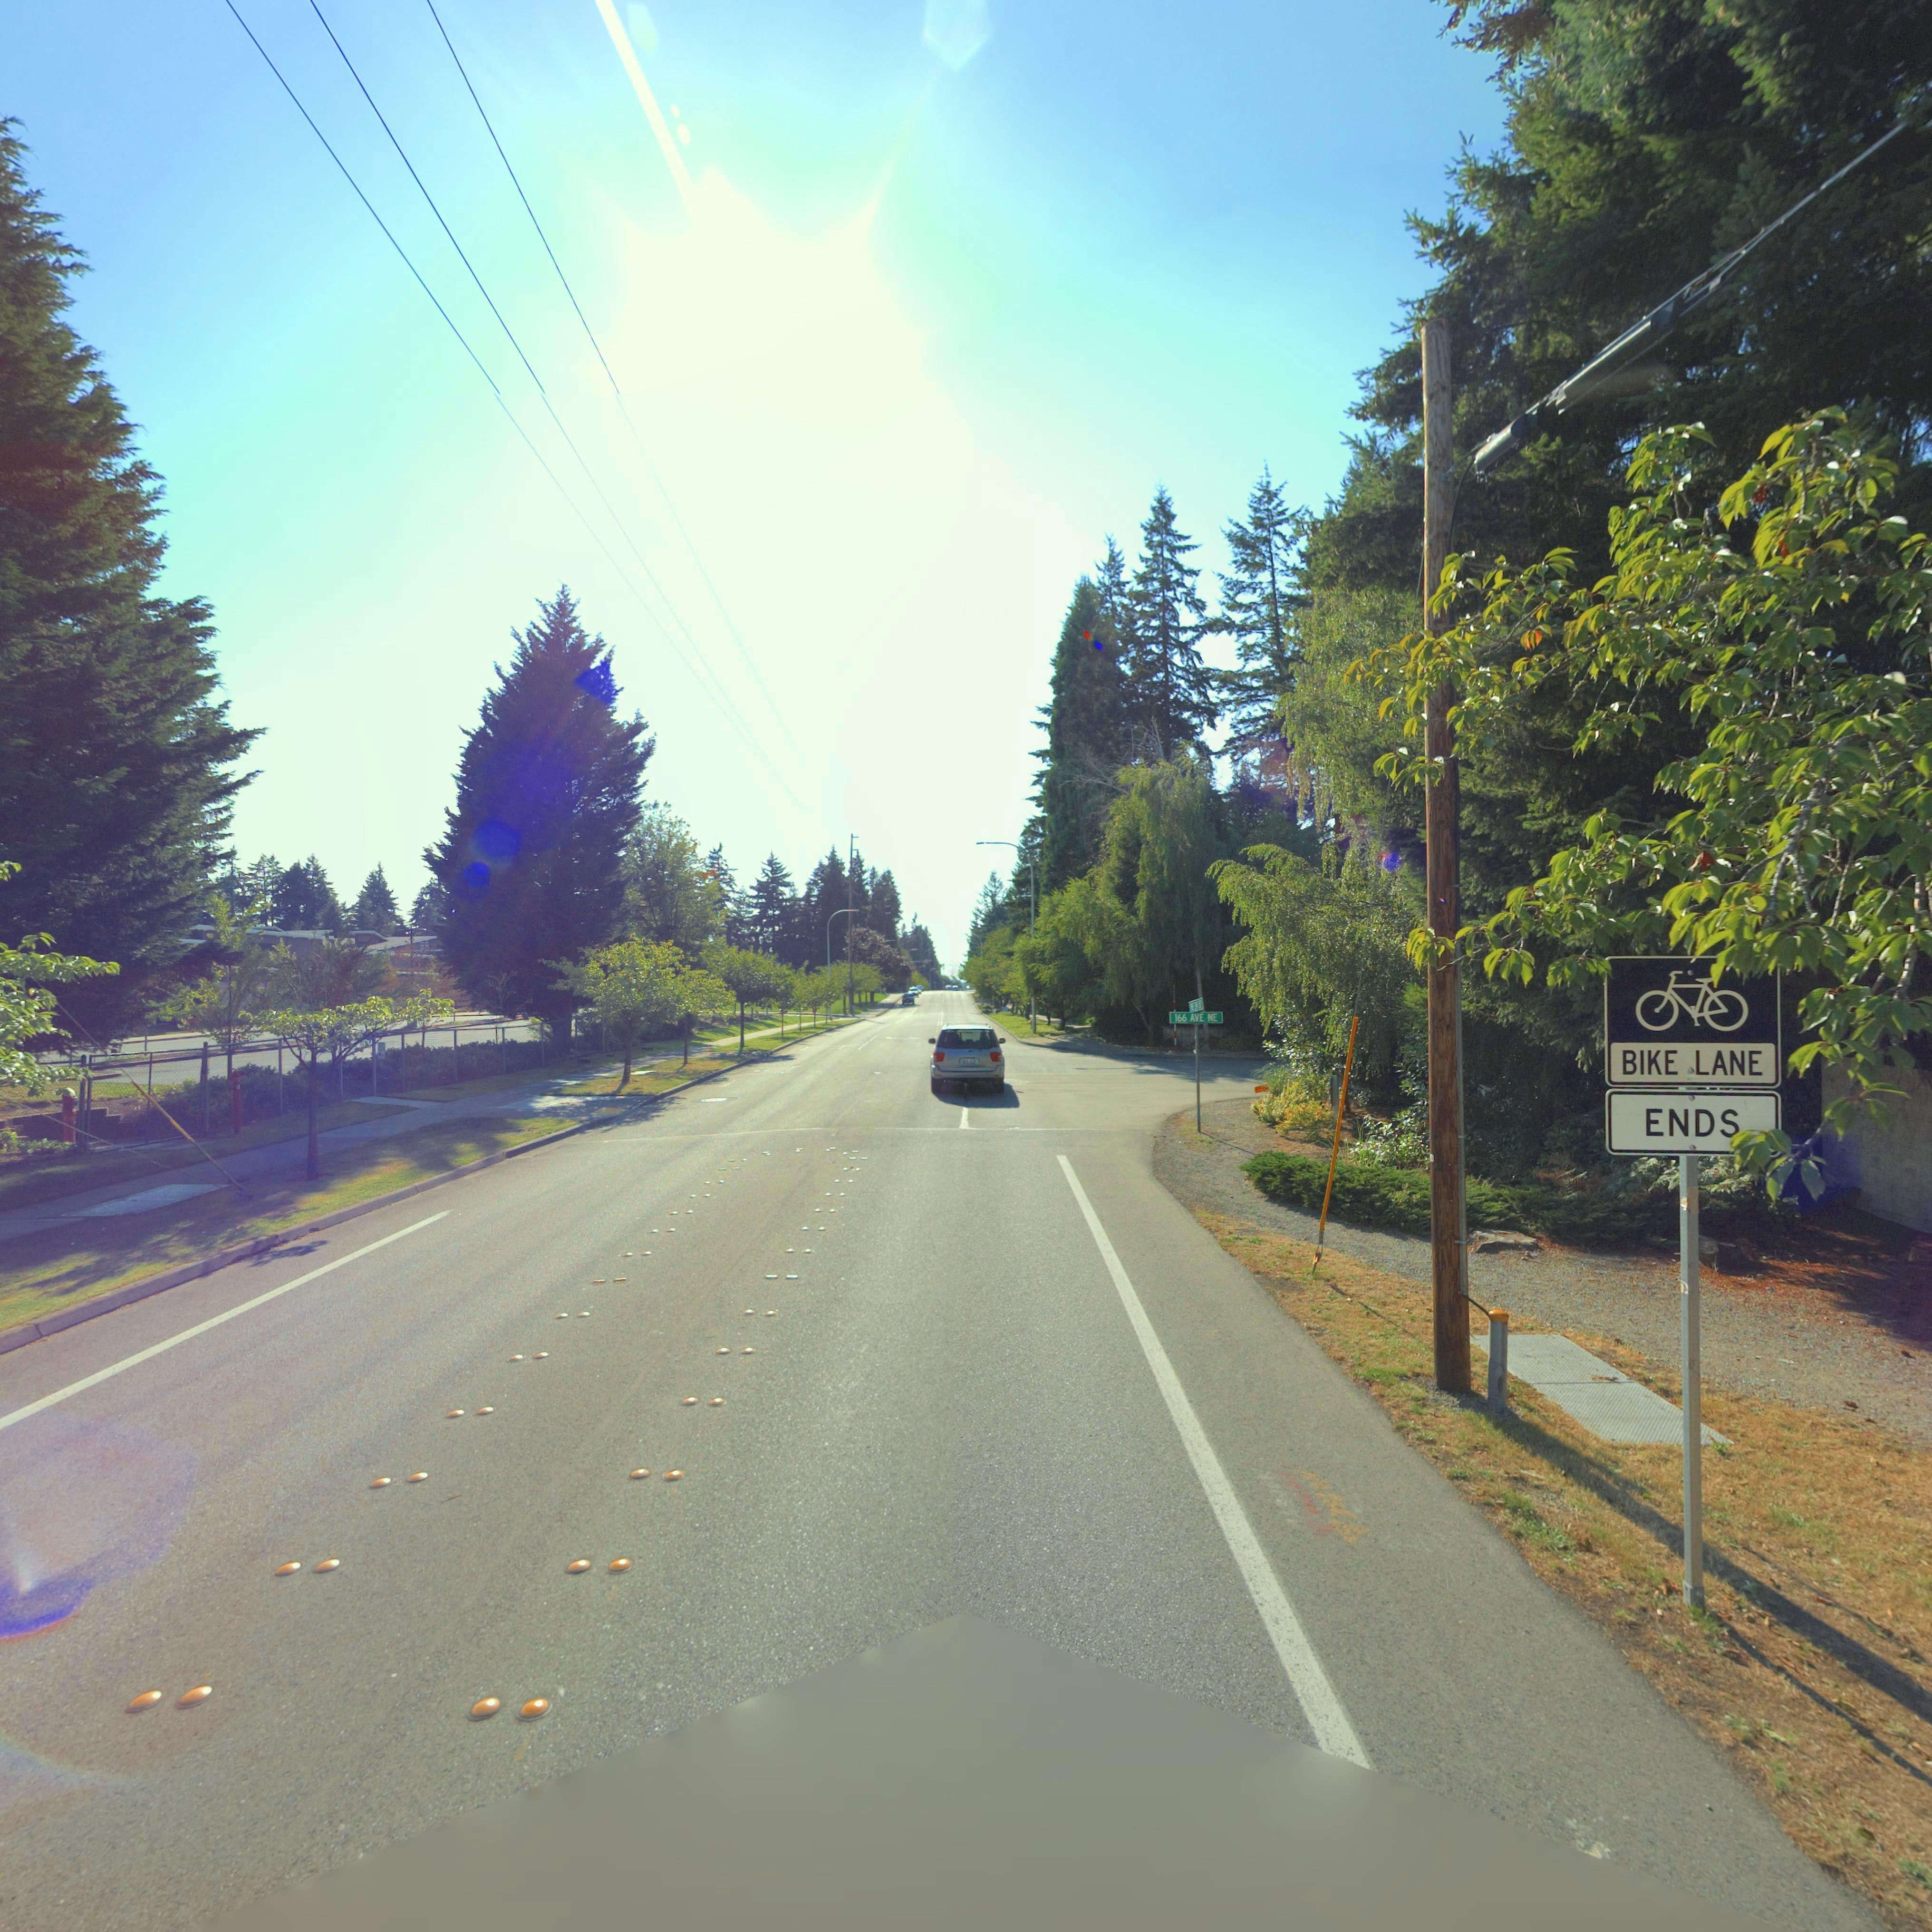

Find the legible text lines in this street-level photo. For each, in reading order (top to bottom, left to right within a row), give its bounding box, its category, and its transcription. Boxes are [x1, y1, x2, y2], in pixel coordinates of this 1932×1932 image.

[1173, 1013, 1218, 1022] StreetName: 166 AVE NE